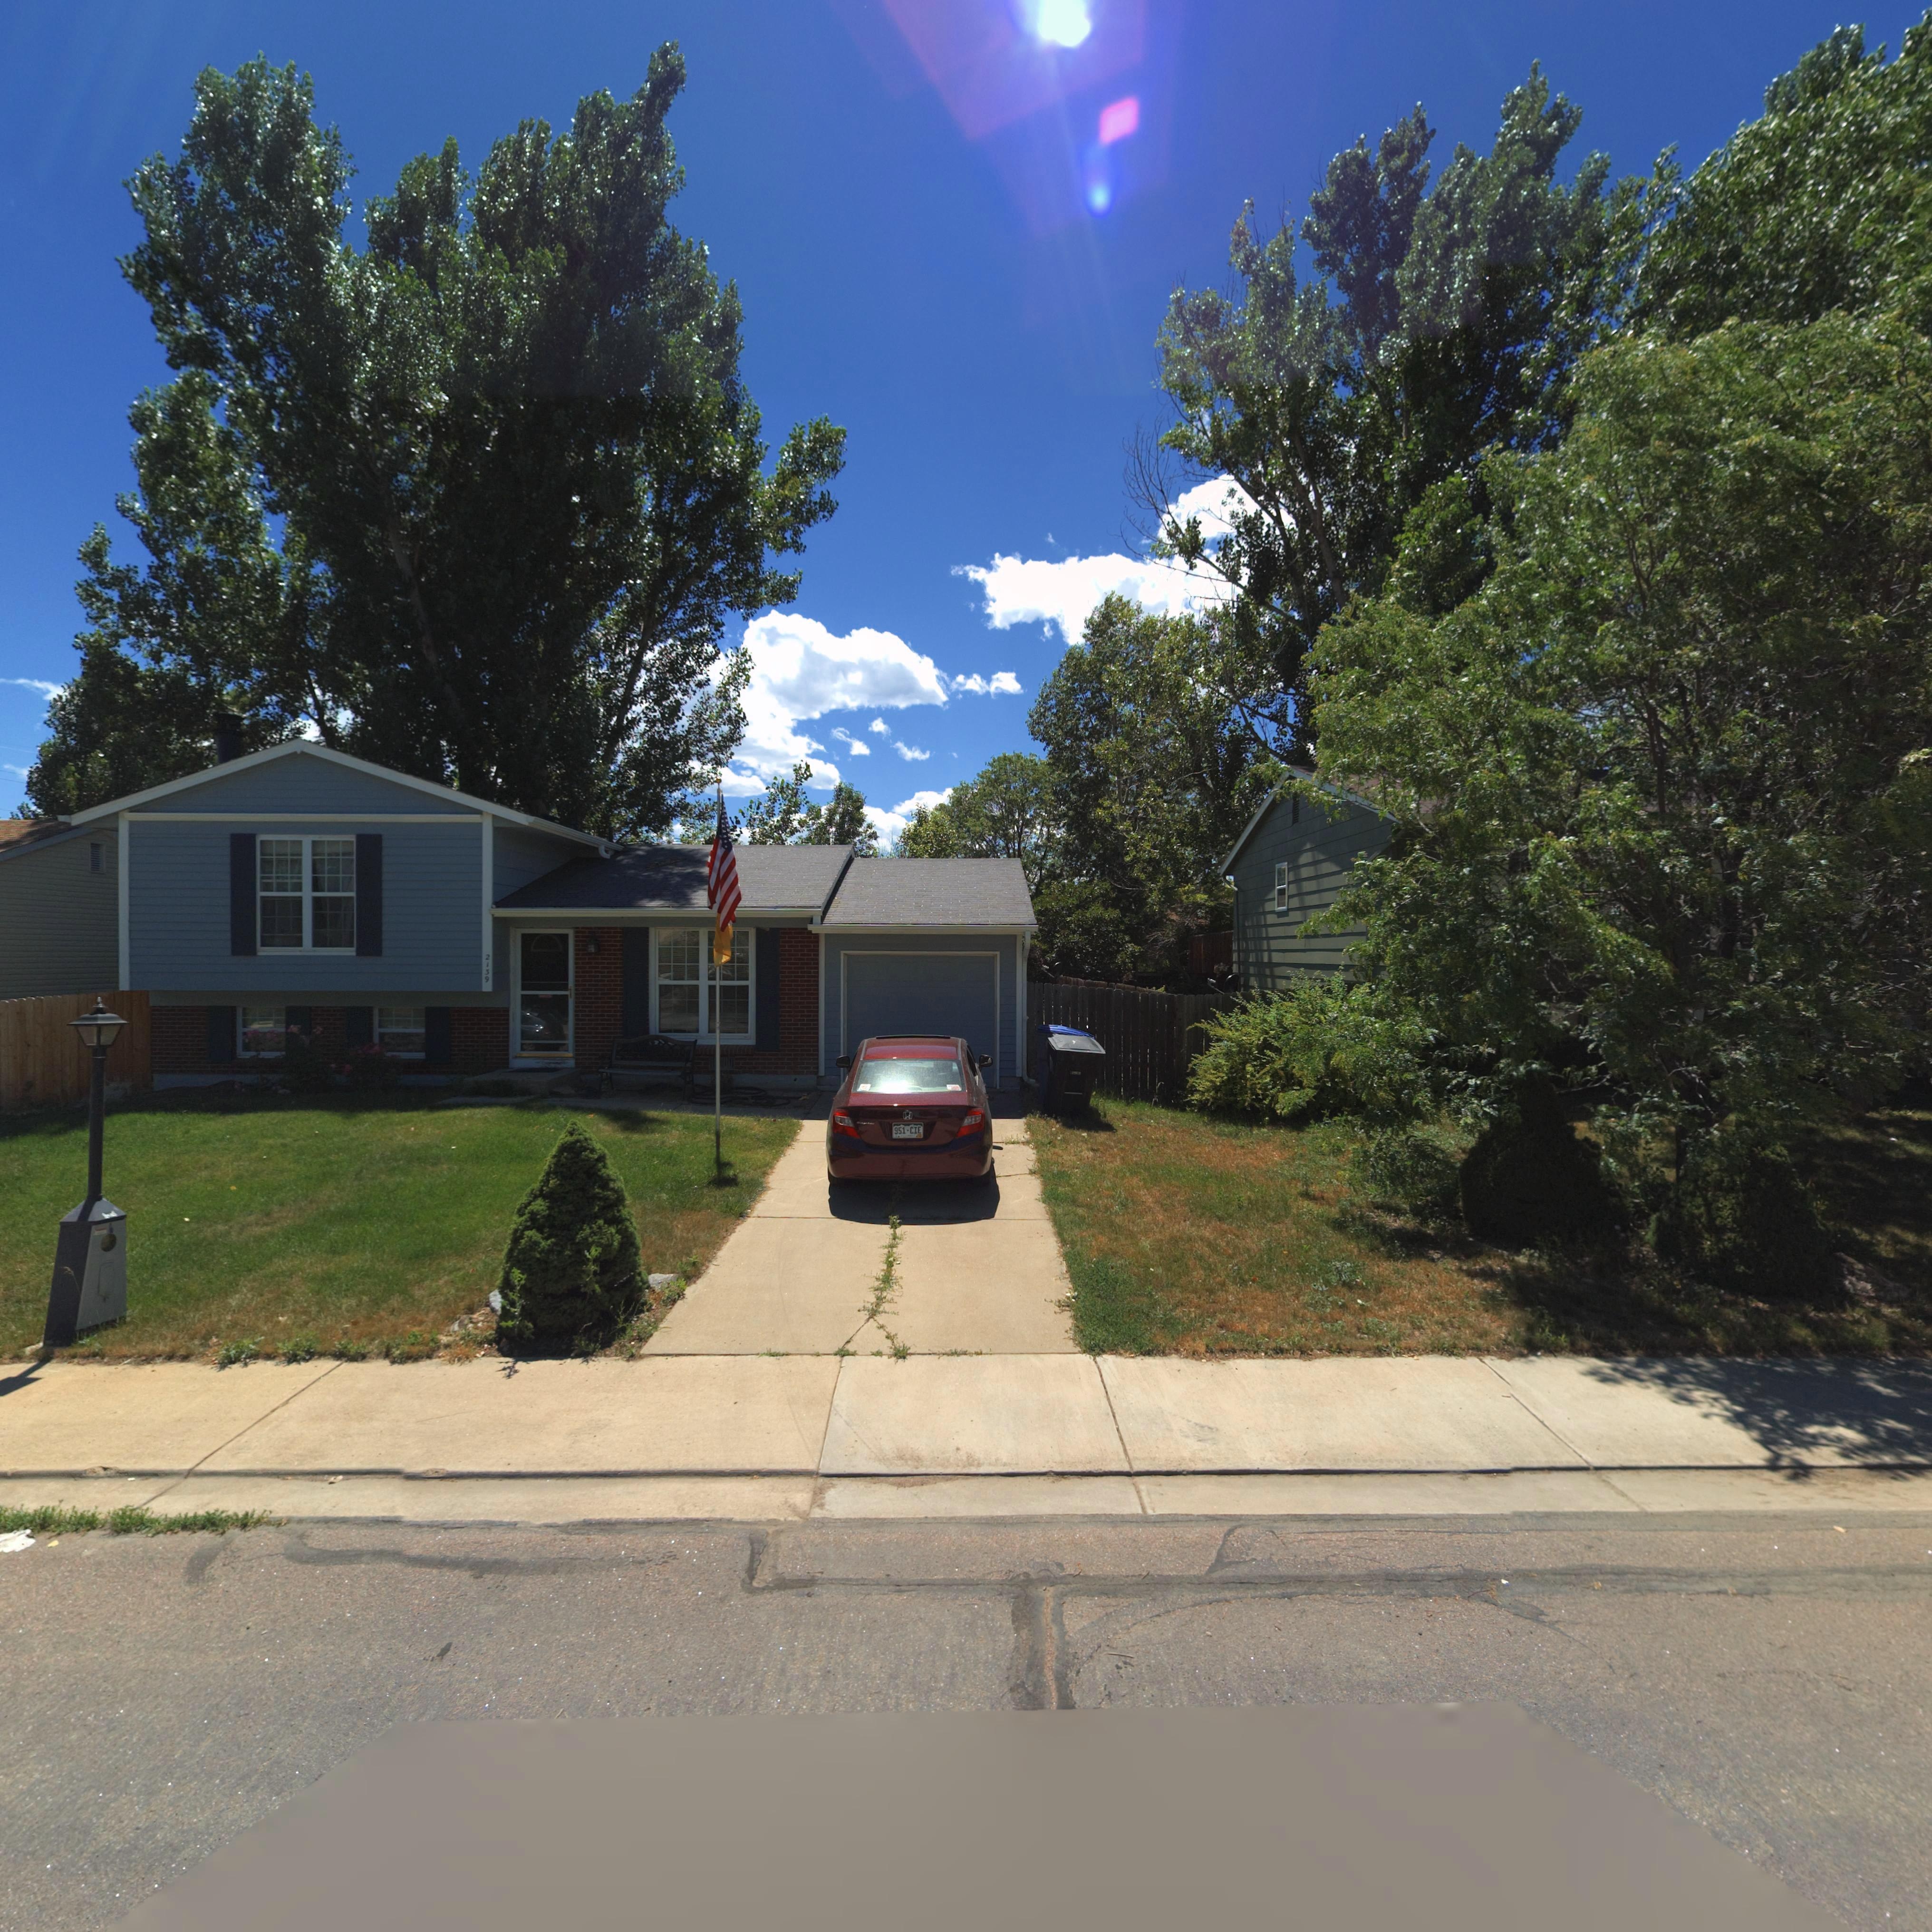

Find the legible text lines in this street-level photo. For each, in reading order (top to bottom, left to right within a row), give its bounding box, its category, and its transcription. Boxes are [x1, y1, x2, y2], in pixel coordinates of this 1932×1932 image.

[484, 953, 490, 983] StreetNumber: 2139